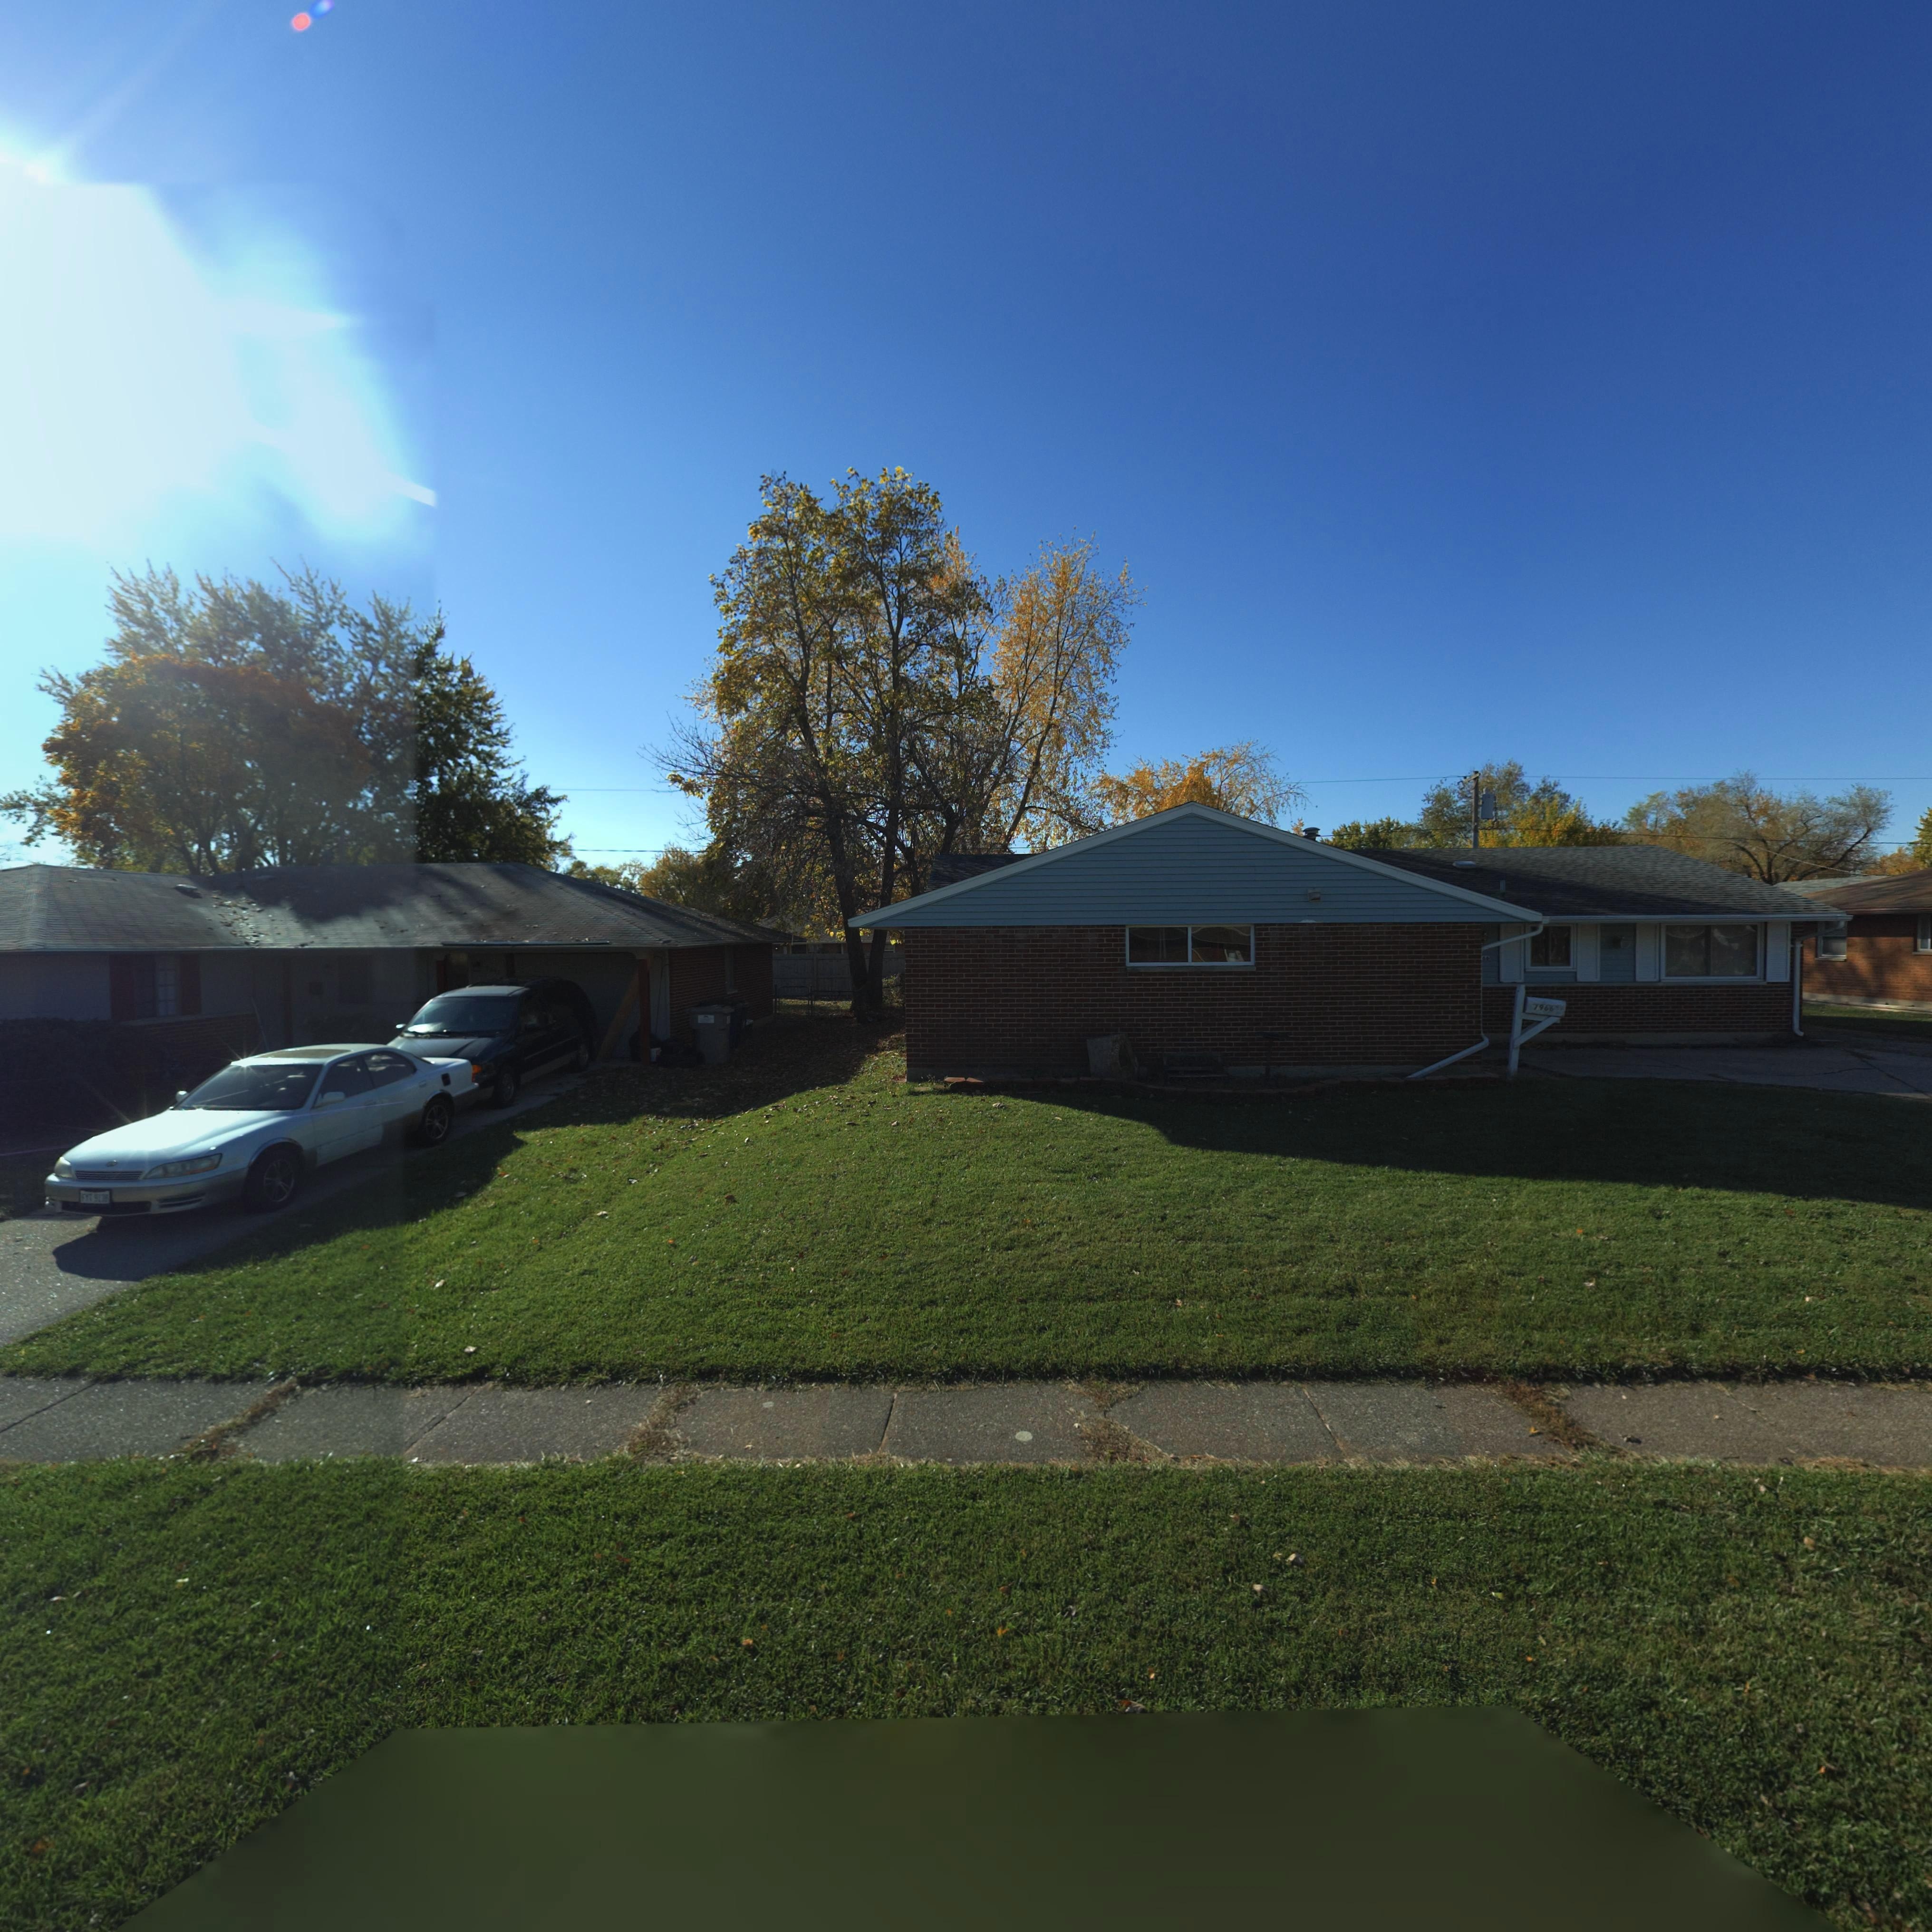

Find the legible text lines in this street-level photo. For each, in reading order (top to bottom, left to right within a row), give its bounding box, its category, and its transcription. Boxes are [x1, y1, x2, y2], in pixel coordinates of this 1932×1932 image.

[1481, 955, 1491, 962] StreetNumber: 6*
[1532, 1003, 1555, 1013] StreetNumber: 7966